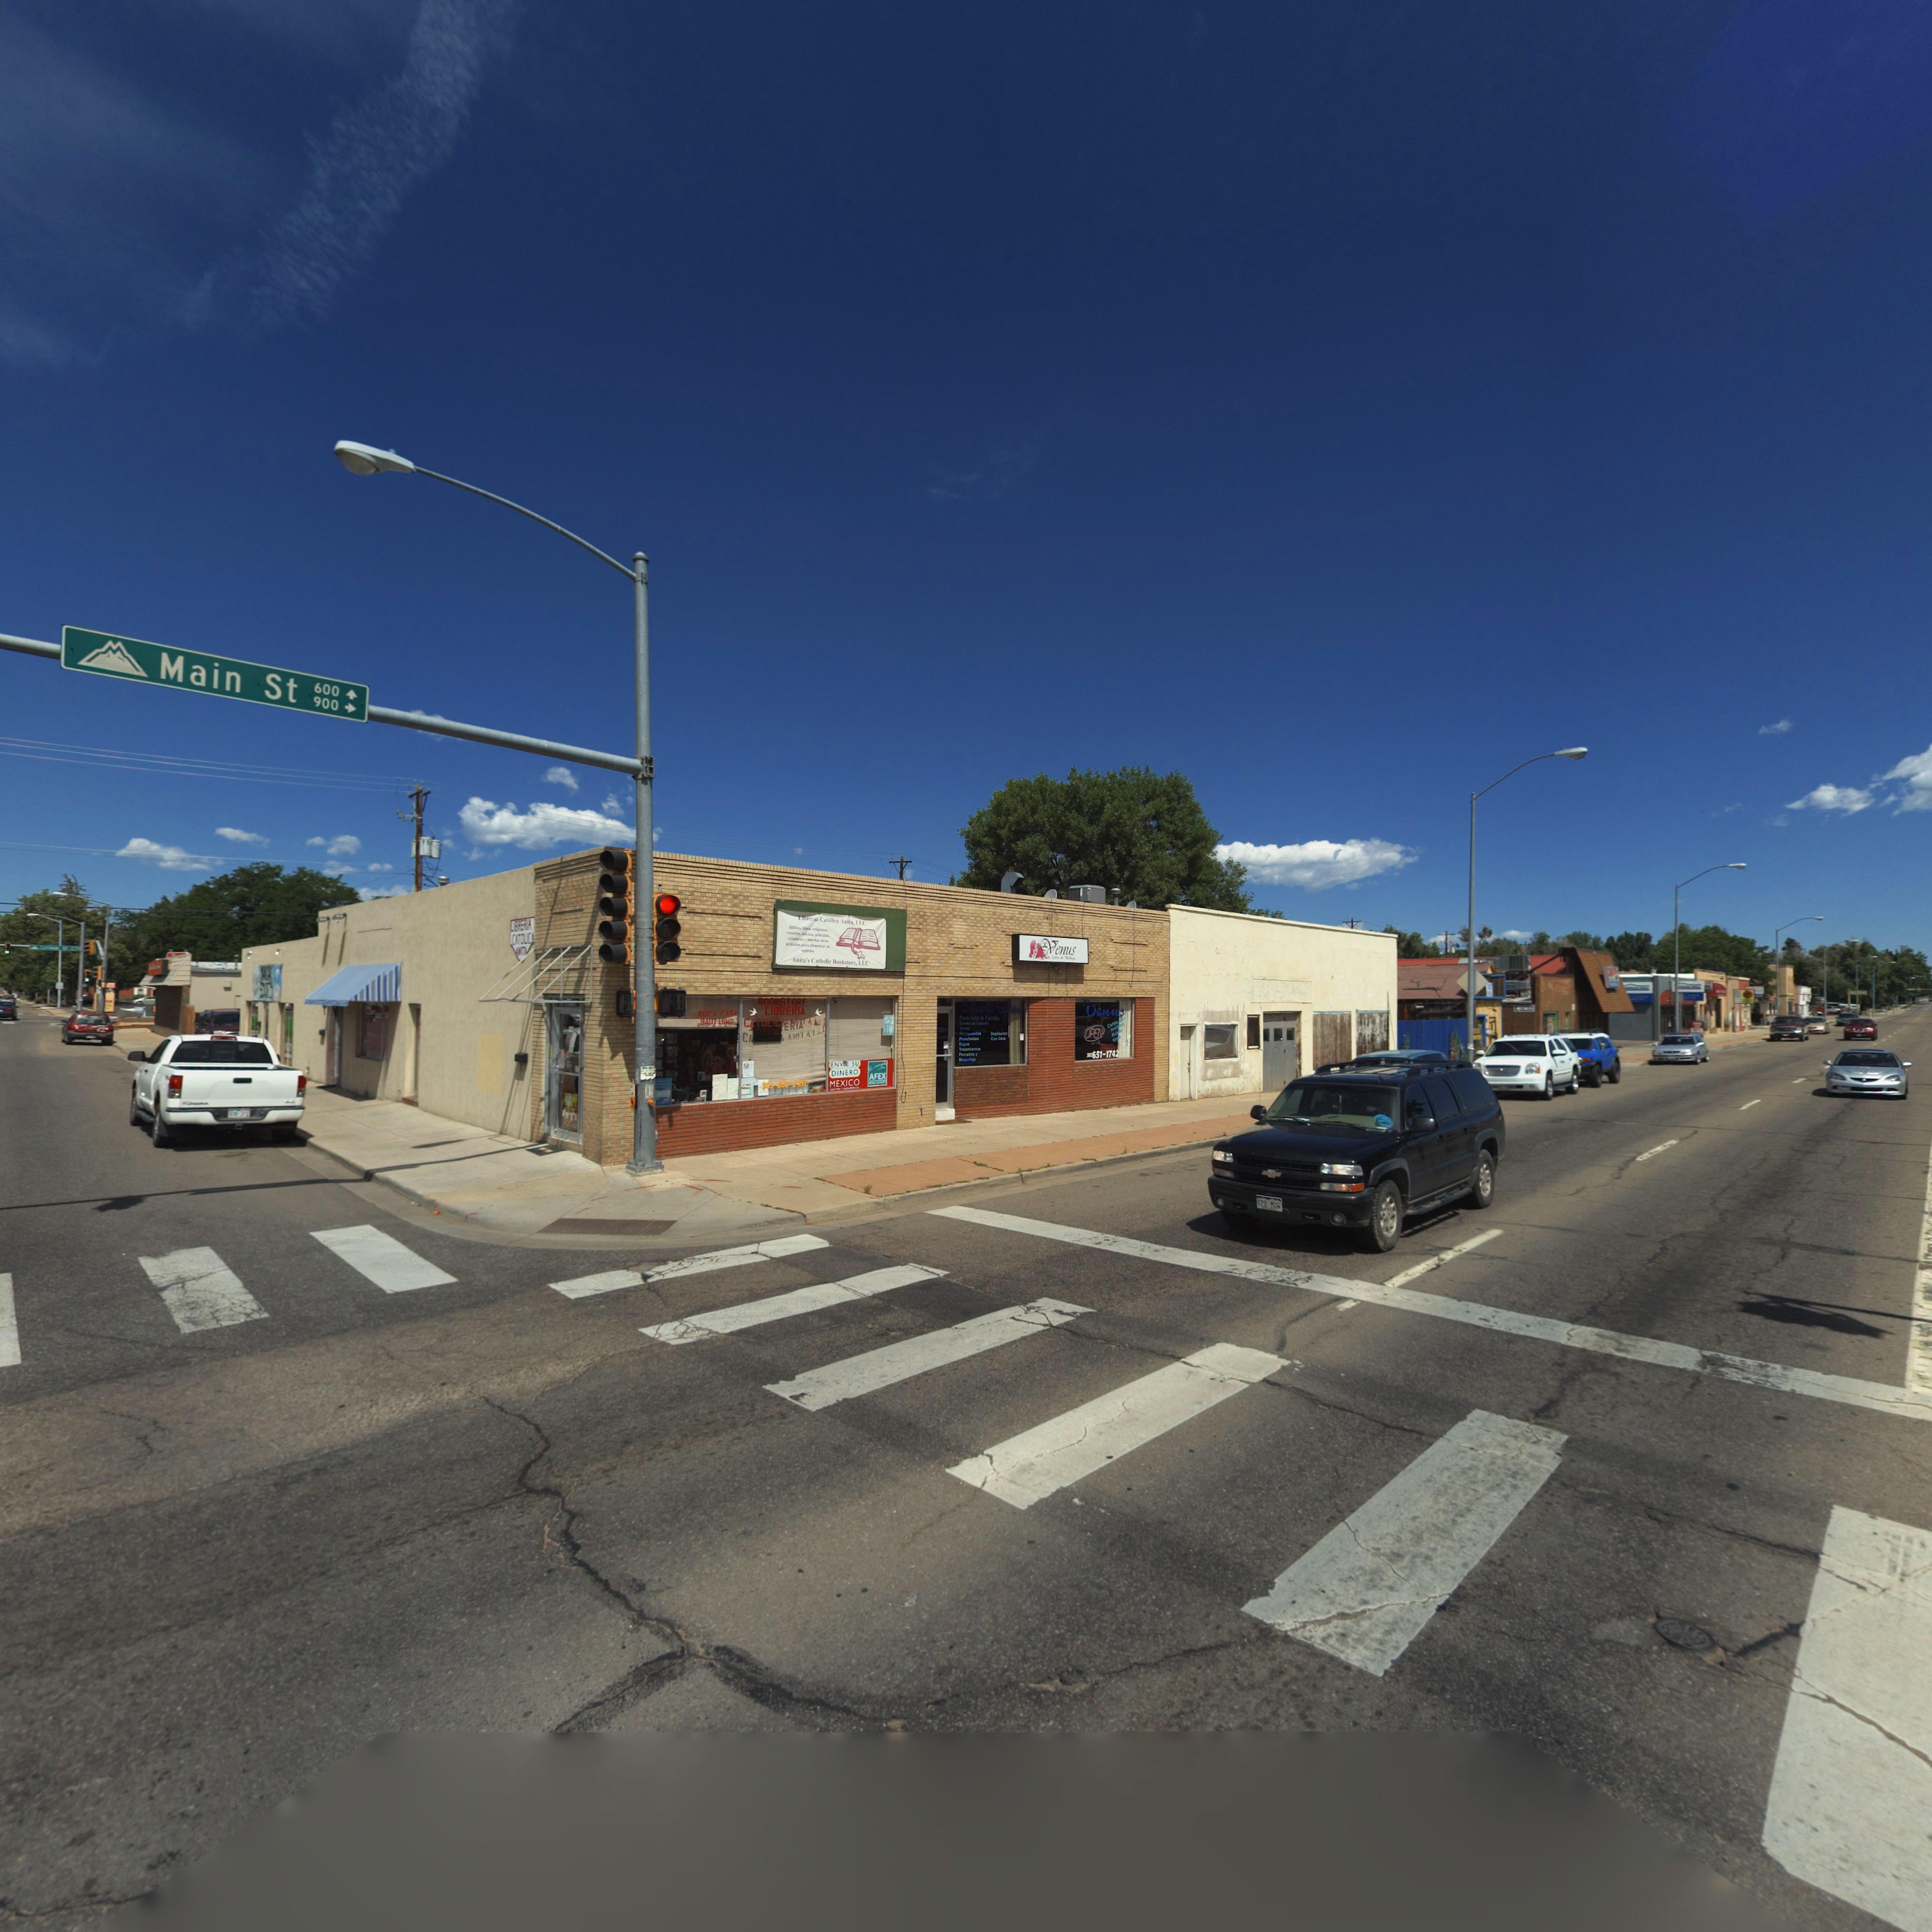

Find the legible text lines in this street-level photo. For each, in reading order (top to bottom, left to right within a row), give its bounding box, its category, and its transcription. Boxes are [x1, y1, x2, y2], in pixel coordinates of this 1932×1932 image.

[159, 650, 299, 705] StreetName: Main St
[313, 681, 341, 697] StreetNumberRange: 600
[313, 695, 359, 714] StreetNumberRange: 900->
[509, 918, 531, 932] BusinessName: ****ERIA
[797, 914, 867, 926] BusinessName: Li*r*r** C**ol*c* A***a LLC
[511, 932, 535, 946] BusinessName: C*TO*L*C*
[514, 945, 528, 956] BusinessName: ***T*
[1045, 938, 1077, 955] BusinessName: Venus
[791, 956, 870, 966] BusinessName: A***a's Catholi* Books*ore LLC
[757, 997, 807, 1006] BusinessName: BOO*STORE
[764, 1005, 806, 1015] BusinessName: LIBRERIA
[1081, 999, 1126, 1017] BusinessName: V*nus
[743, 1017, 787, 1028] BusinessName: C*TOL*C*